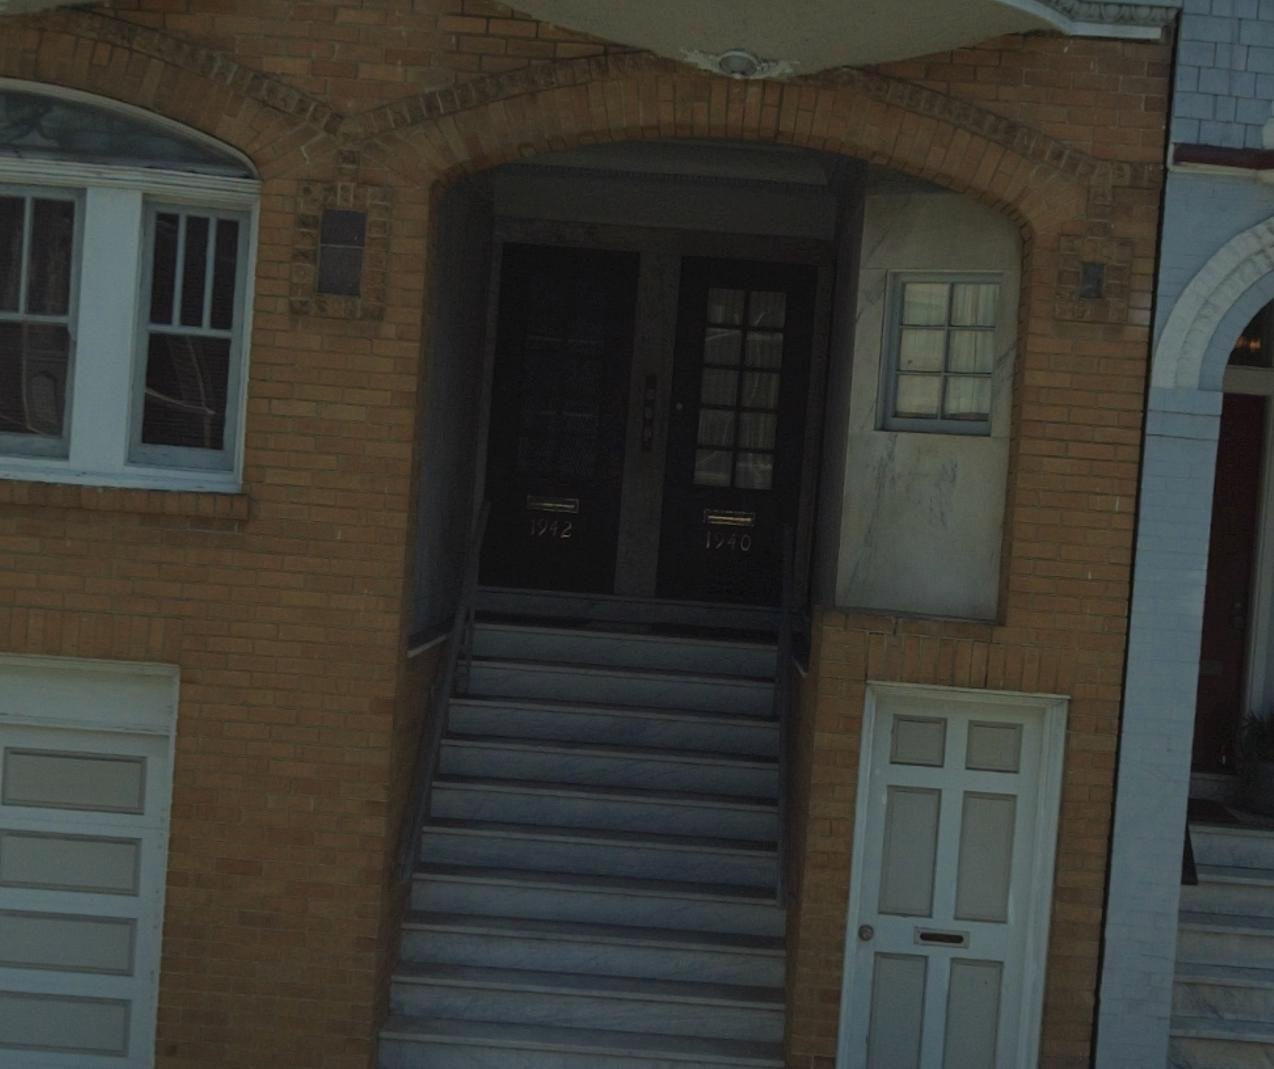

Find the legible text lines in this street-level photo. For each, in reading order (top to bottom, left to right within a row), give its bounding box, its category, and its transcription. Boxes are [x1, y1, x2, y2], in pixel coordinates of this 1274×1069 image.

[527, 517, 574, 541] StreetNumber: 1942
[705, 530, 753, 553] StreetNumber: 1940